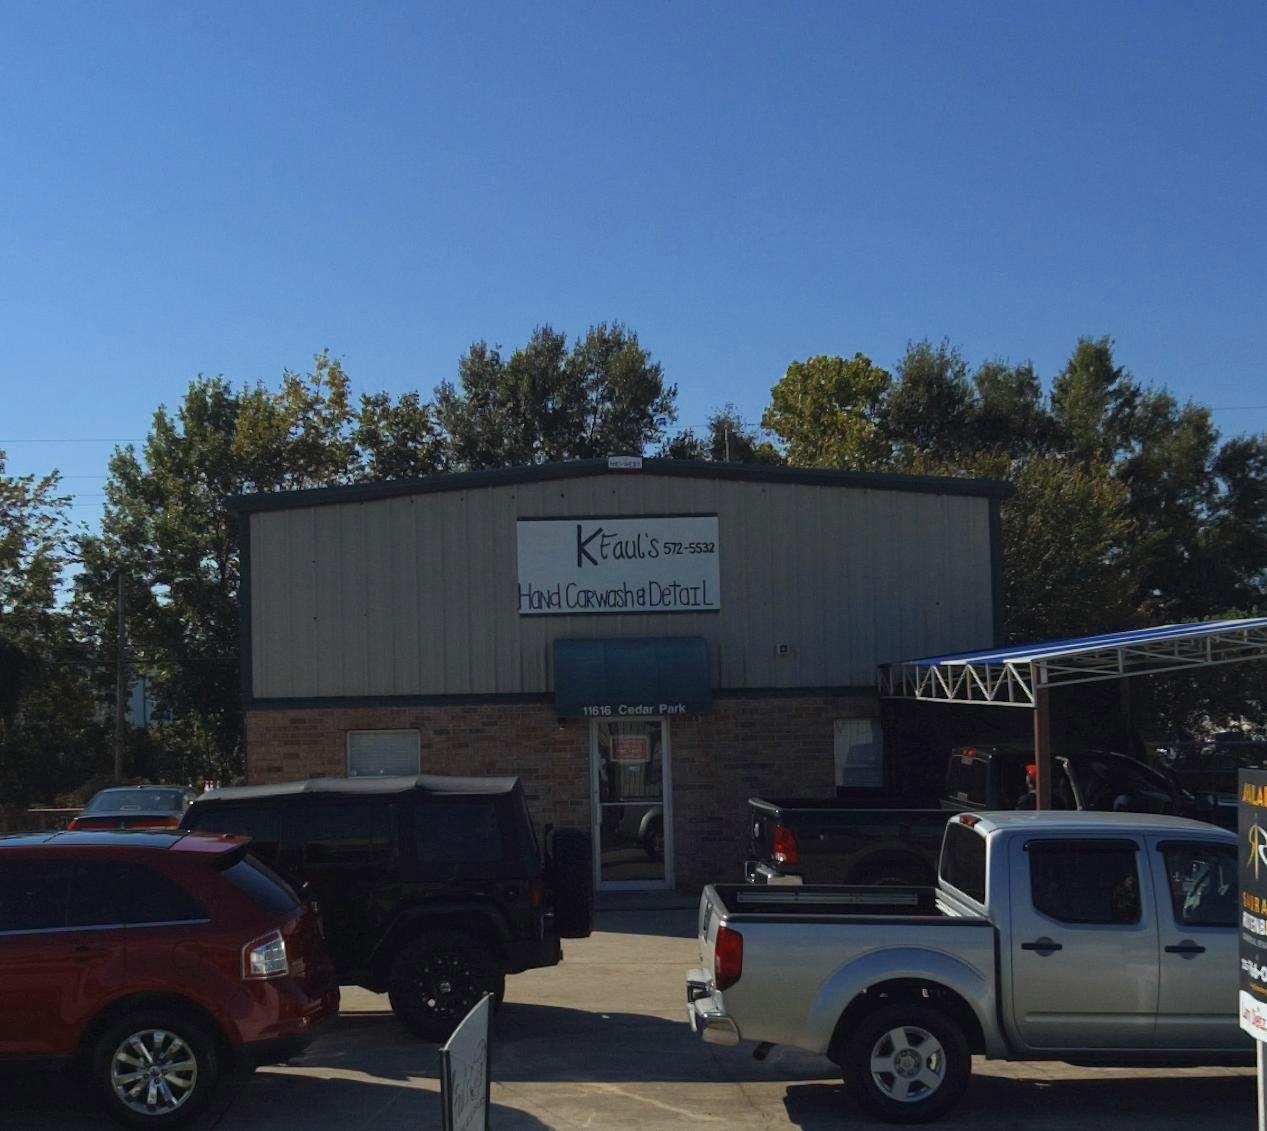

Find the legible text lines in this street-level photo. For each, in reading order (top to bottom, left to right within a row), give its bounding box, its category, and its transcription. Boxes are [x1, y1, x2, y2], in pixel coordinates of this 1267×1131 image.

[574, 521, 663, 572] BusinessName: KEaul'S
[661, 538, 718, 558] None: 572-5532
[516, 576, 716, 611] BusinessName: Hand Carwash & Detail
[581, 703, 614, 717] StreetNumber: 11616
[615, 700, 690, 718] StreetName: Cedar Park
[1248, 781, 1265, 809] None: LA